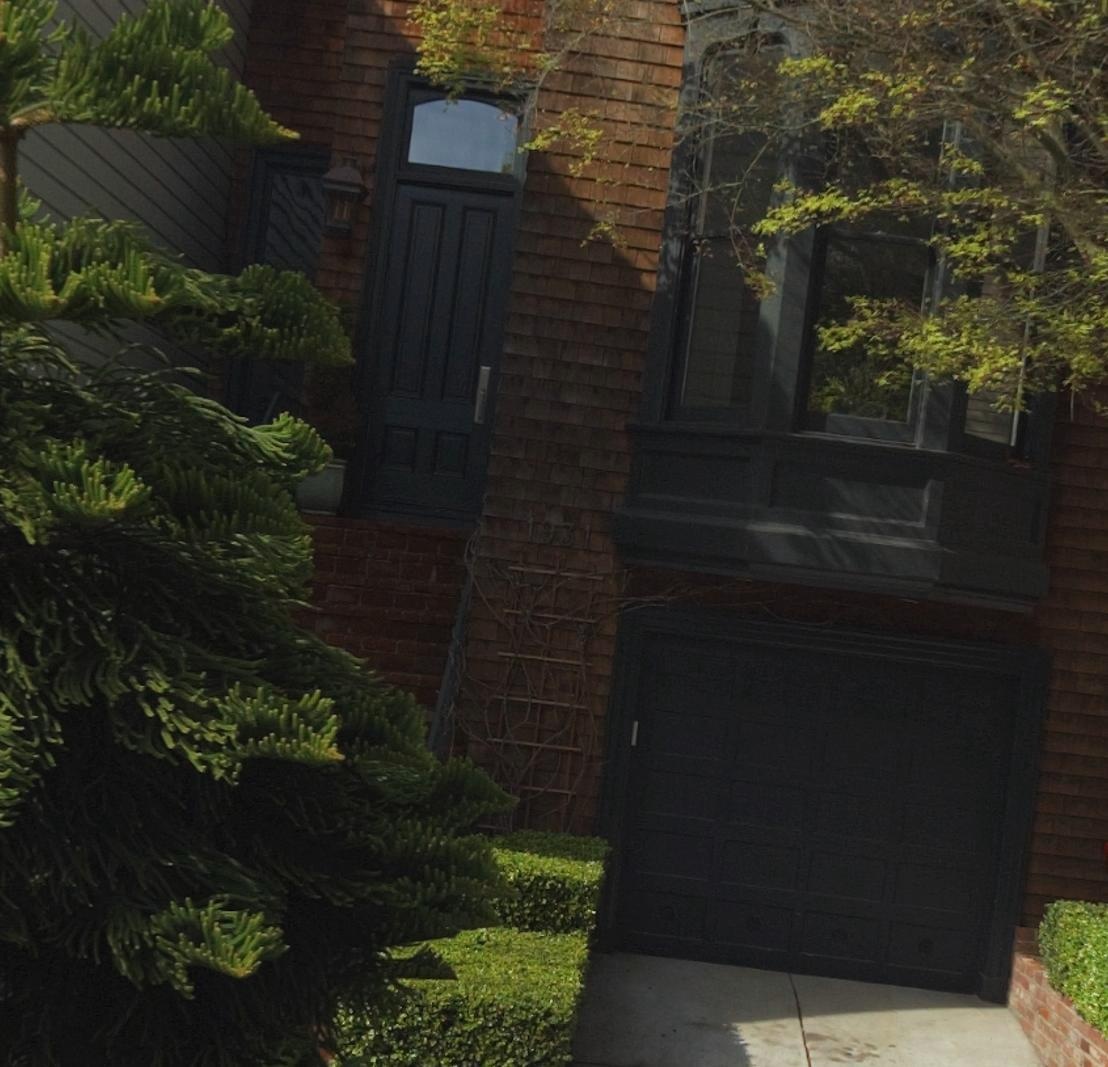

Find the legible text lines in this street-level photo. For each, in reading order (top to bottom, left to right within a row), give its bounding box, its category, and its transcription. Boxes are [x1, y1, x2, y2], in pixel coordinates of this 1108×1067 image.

[524, 514, 594, 552] StreetNumber: 1931